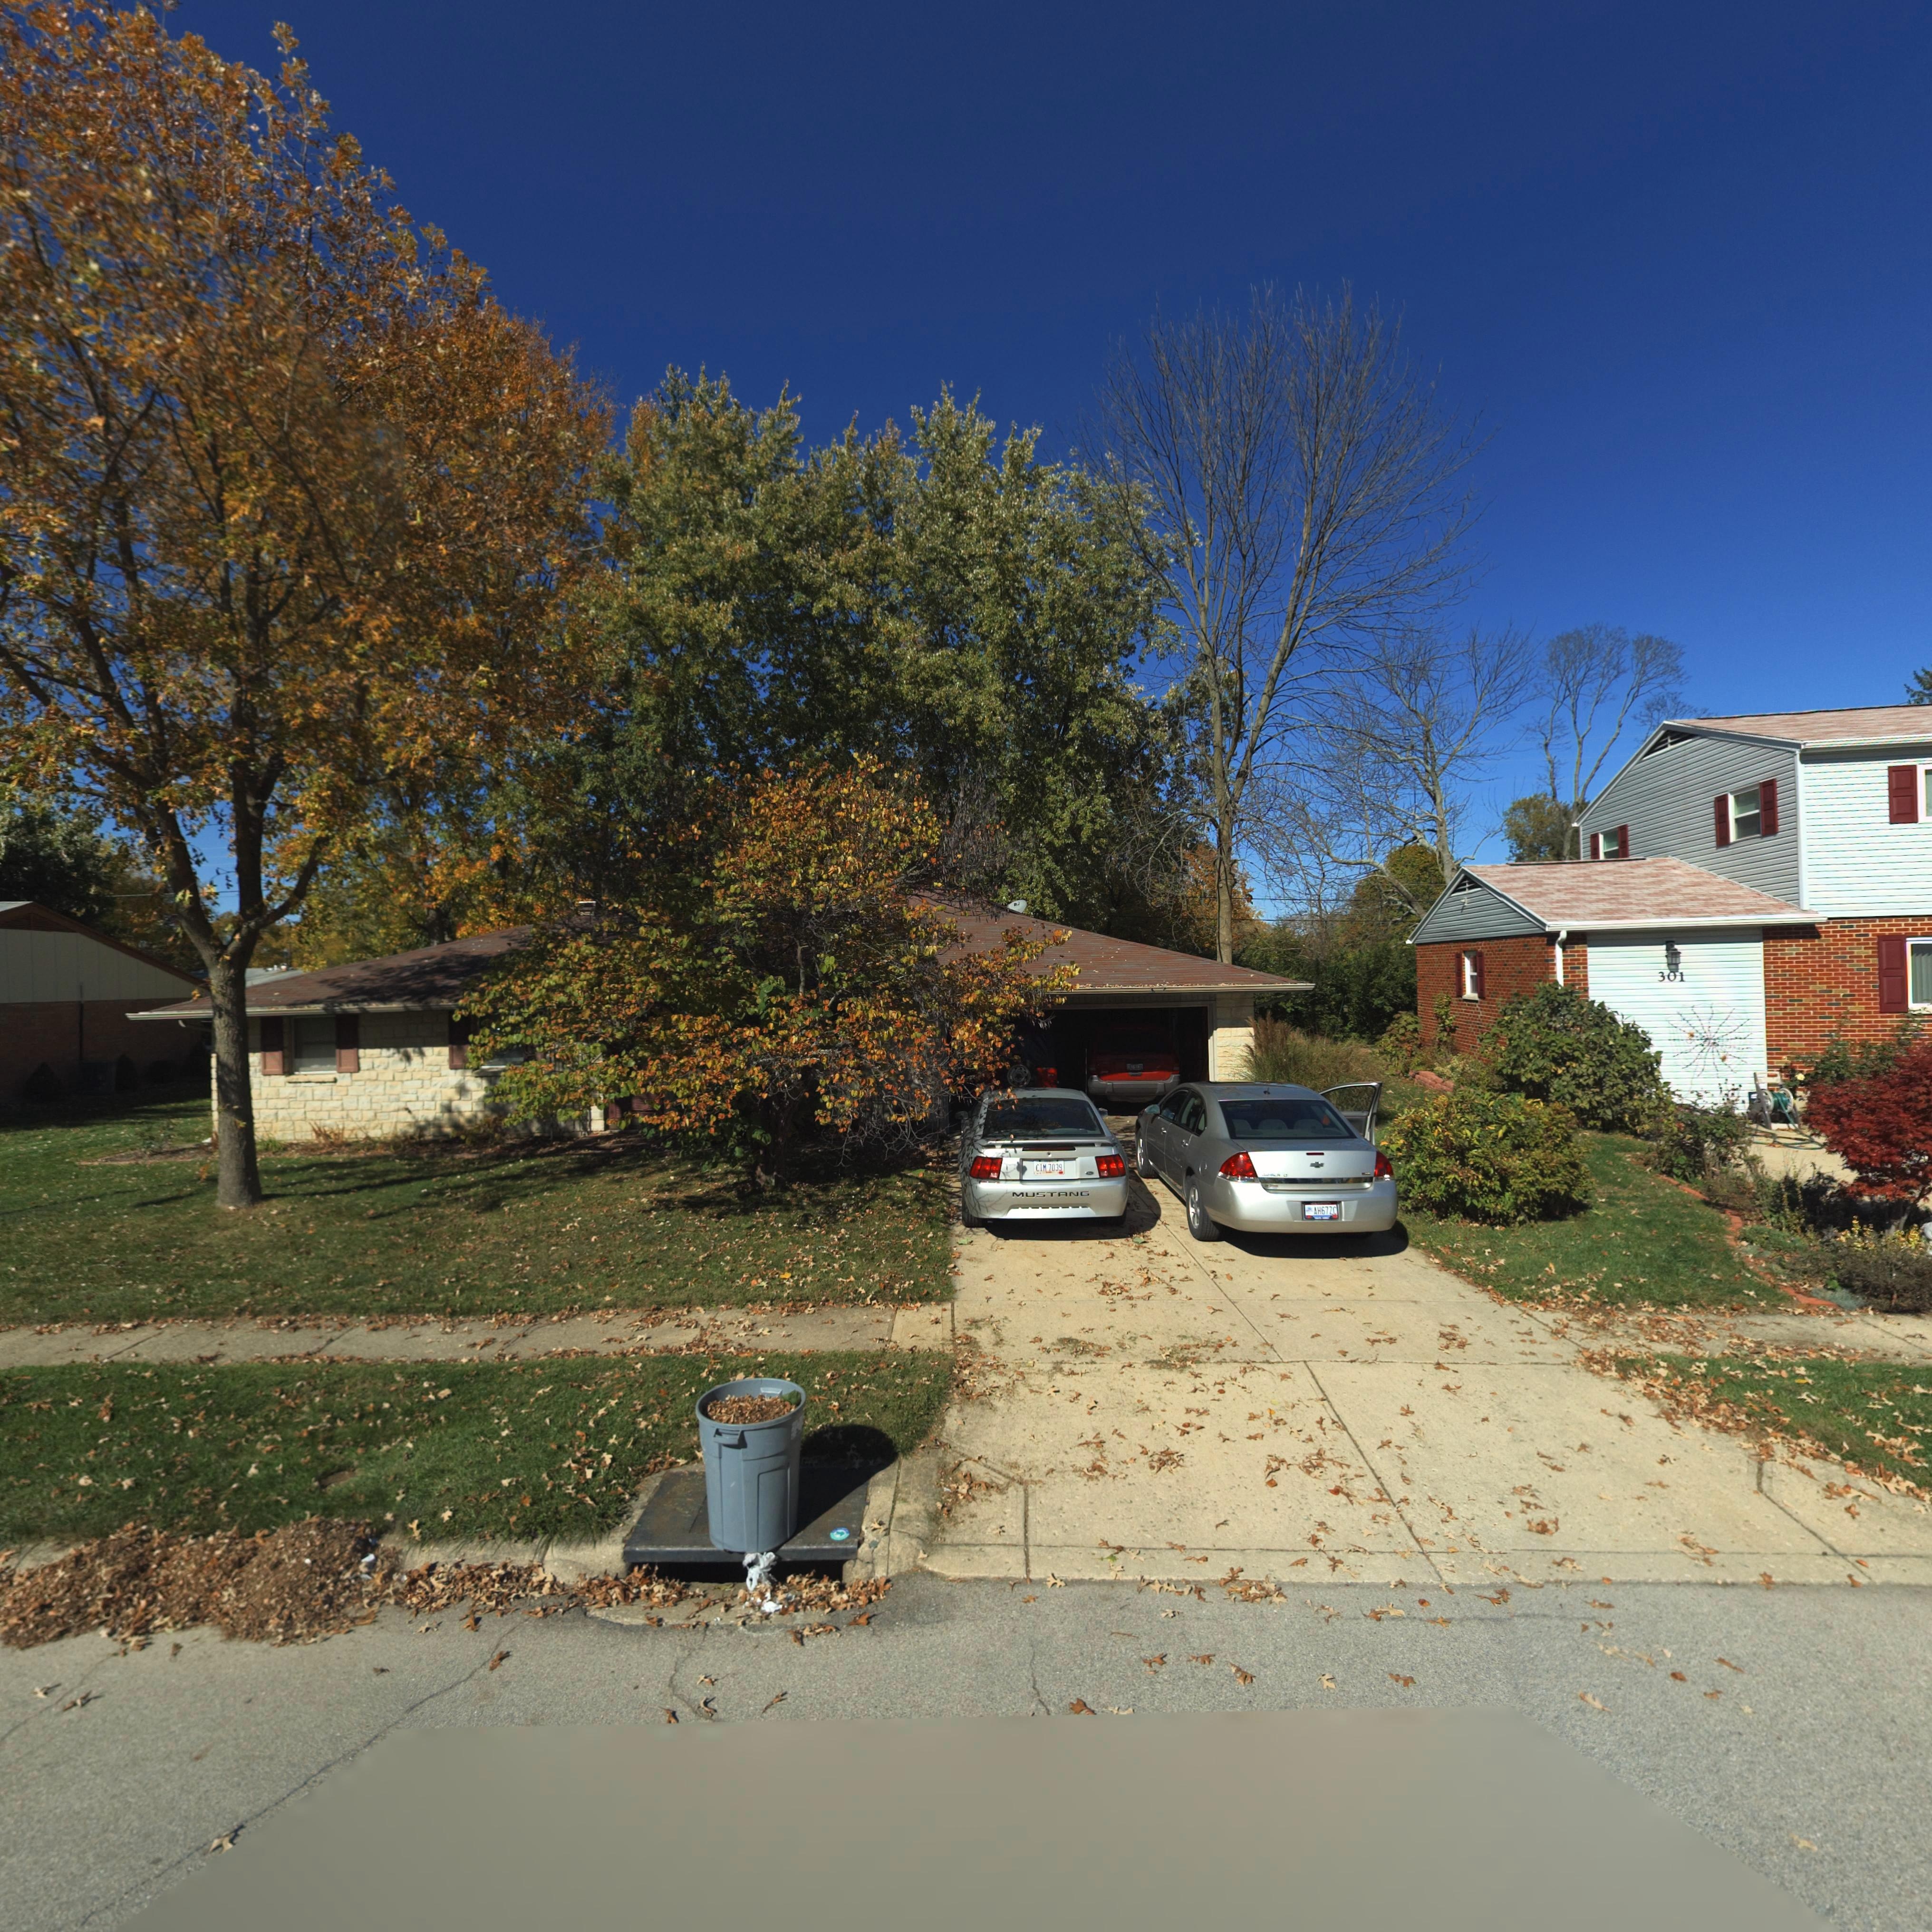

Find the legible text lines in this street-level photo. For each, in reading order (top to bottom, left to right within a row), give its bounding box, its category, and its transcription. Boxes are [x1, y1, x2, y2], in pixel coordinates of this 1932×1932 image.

[1657, 970, 1686, 984] StreetNumber: 301
[1035, 1163, 1063, 1172] None: CIM*7039
[1012, 1190, 1090, 1198] None: MUSTANG
[1314, 1206, 1337, 1216] None: AH67ZC